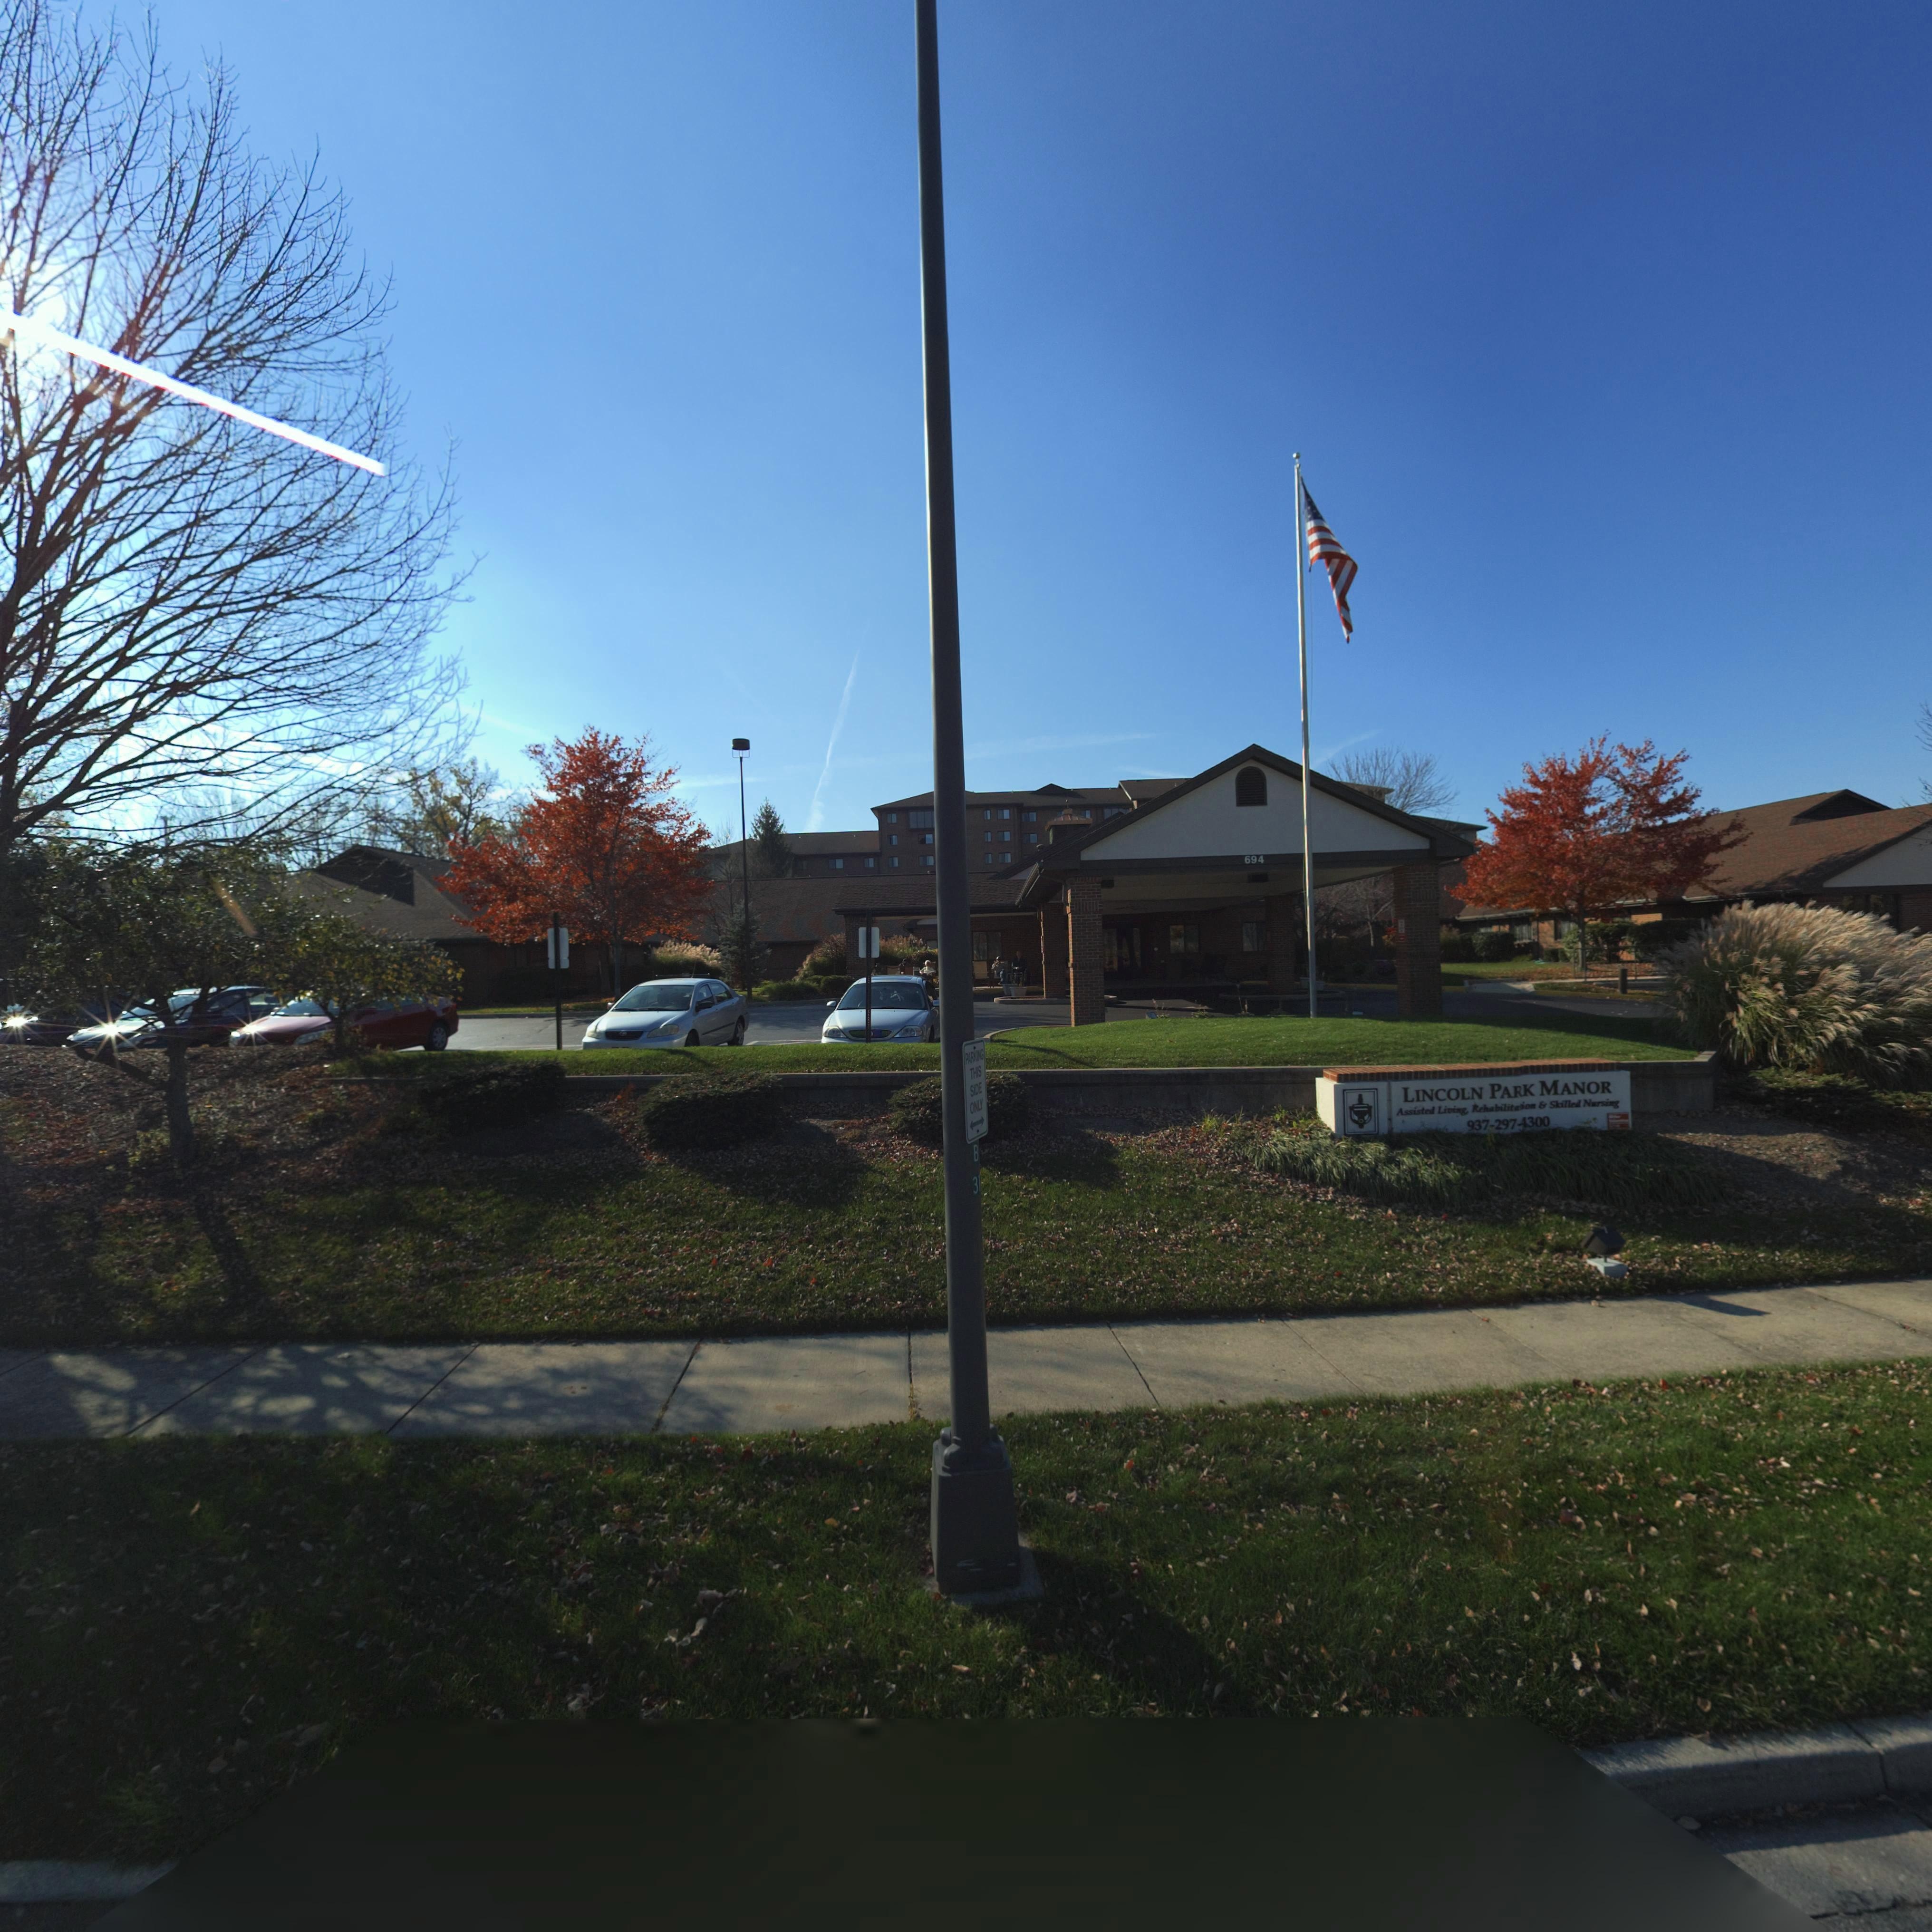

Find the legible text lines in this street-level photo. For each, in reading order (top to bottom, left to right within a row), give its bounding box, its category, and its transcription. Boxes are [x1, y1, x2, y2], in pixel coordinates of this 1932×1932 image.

[1244, 855, 1265, 864] StreetNumber: 694
[1400, 1078, 1613, 1104] BusinessName: LINCOLN PARK MANOR